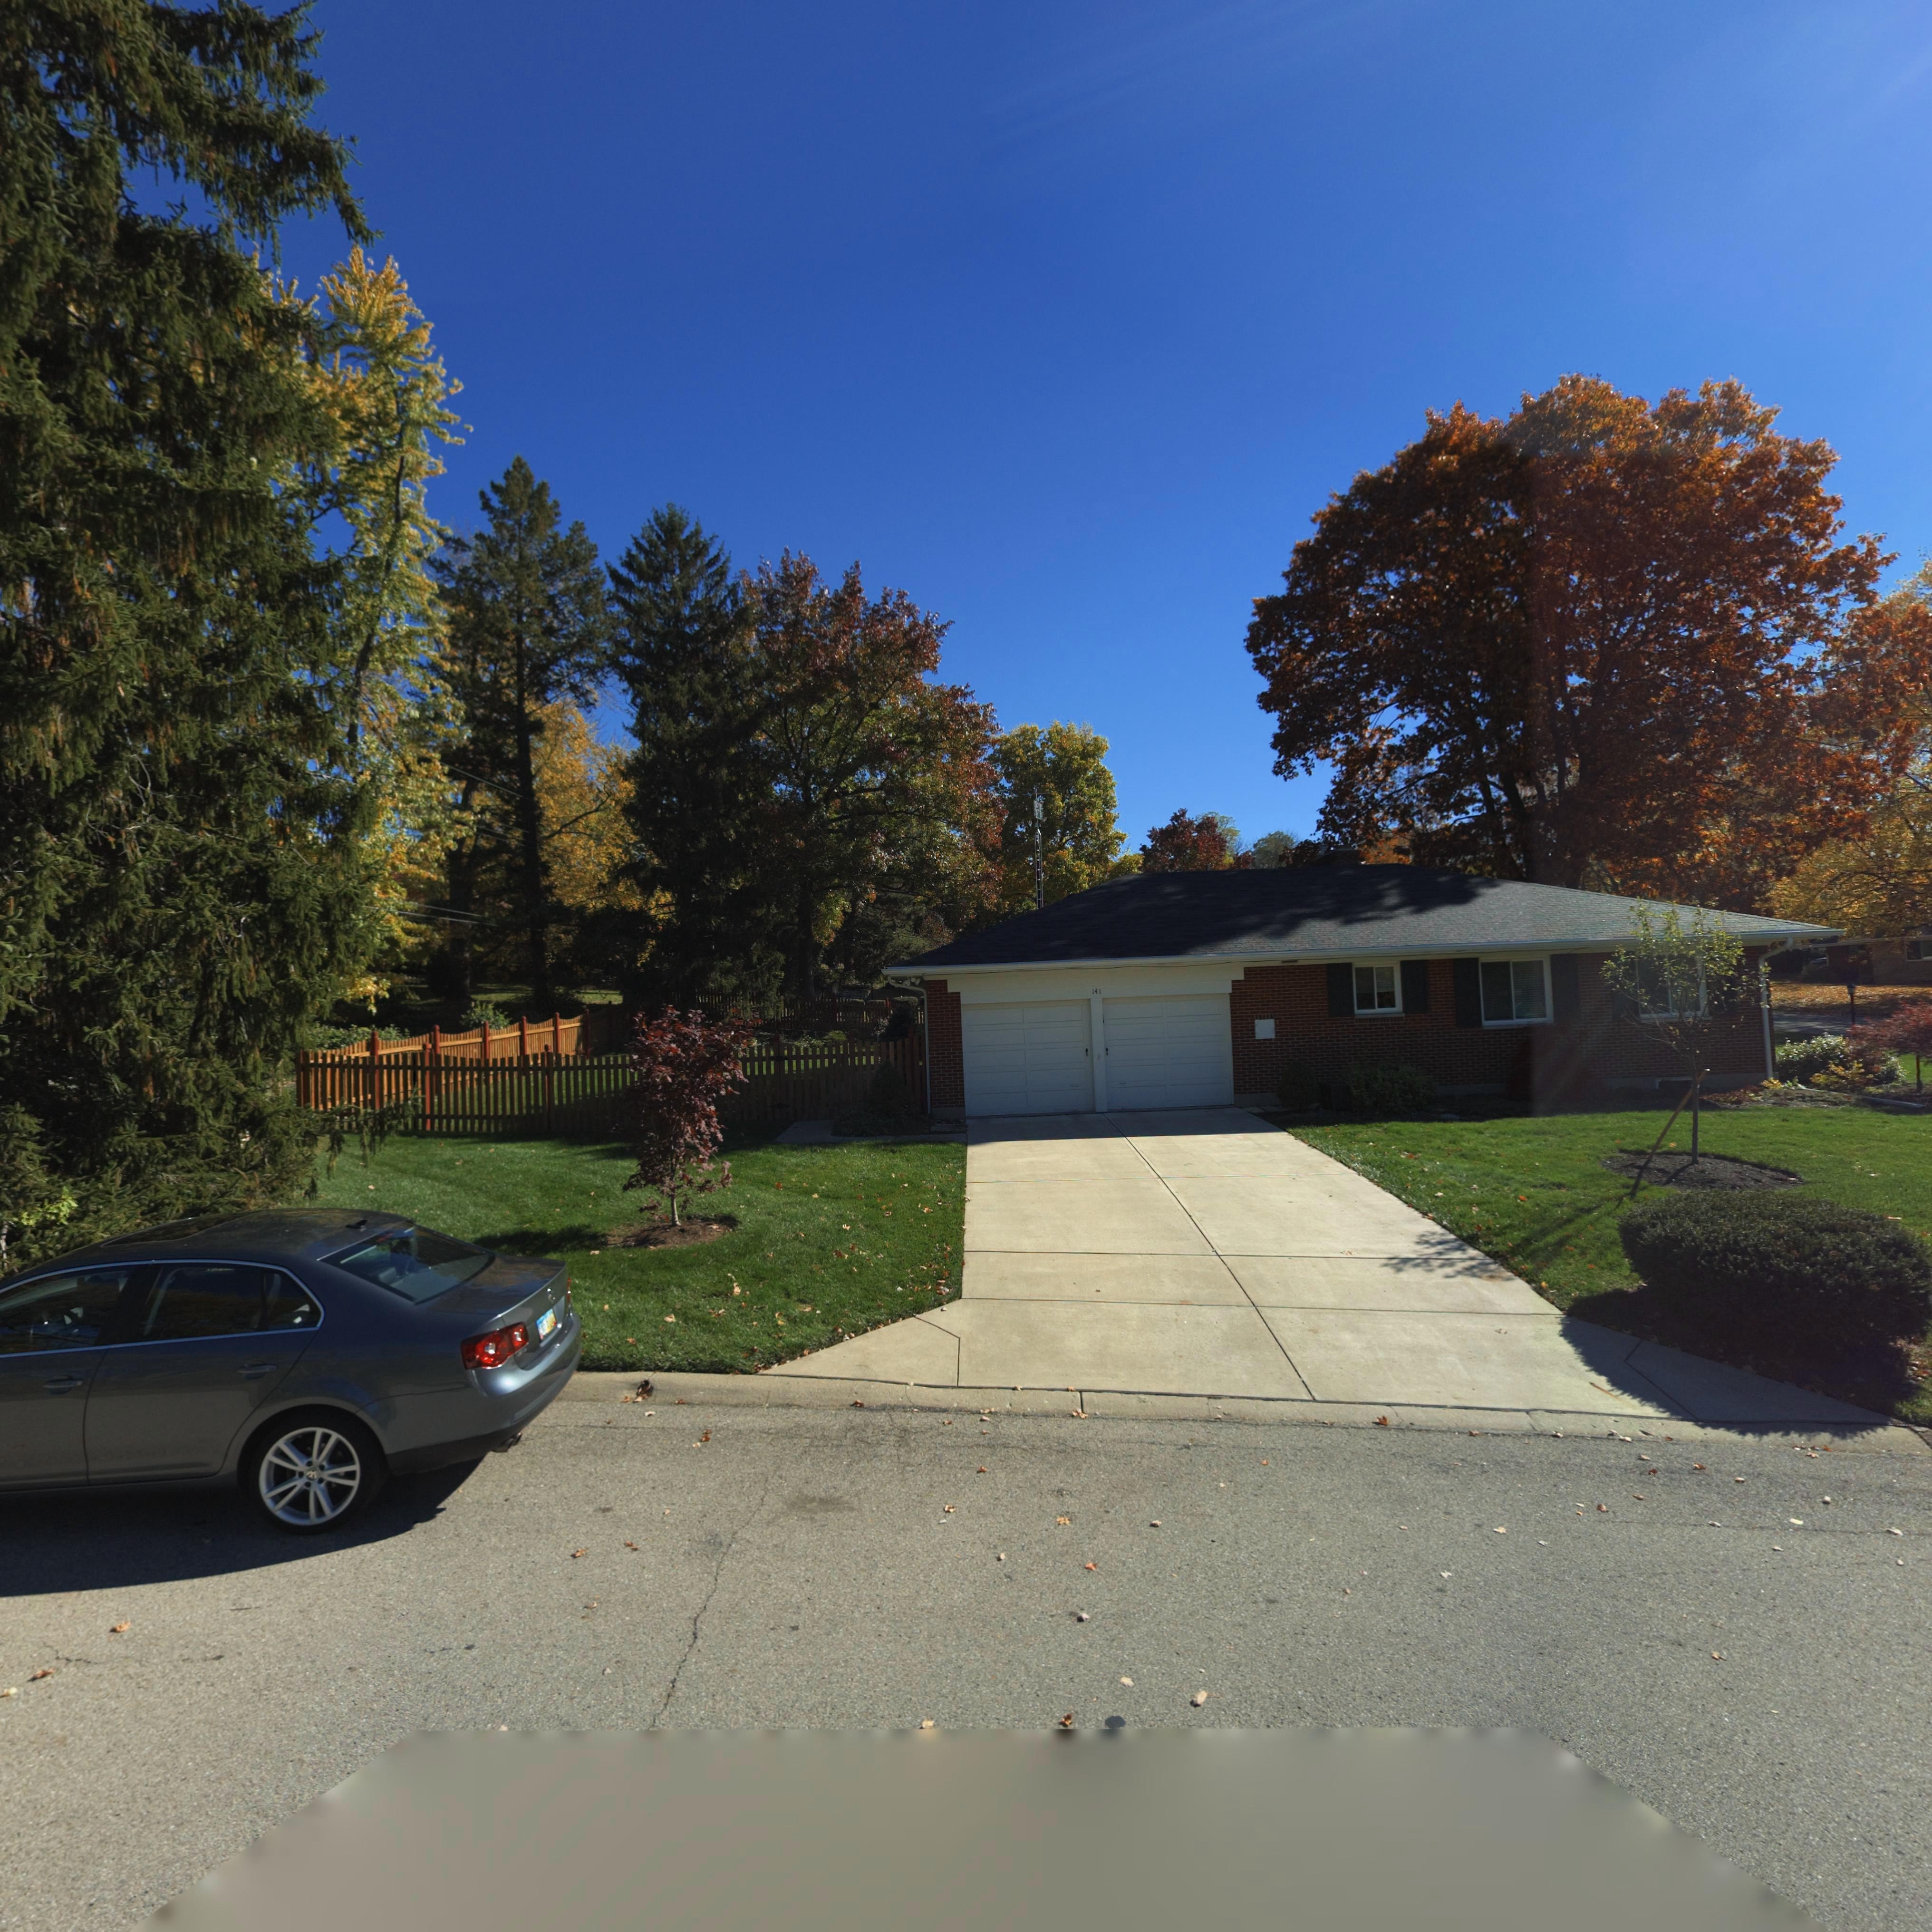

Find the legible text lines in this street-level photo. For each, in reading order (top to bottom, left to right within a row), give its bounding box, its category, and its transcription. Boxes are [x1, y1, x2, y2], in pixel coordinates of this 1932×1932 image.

[1091, 988, 1102, 995] StreetNumber: 141